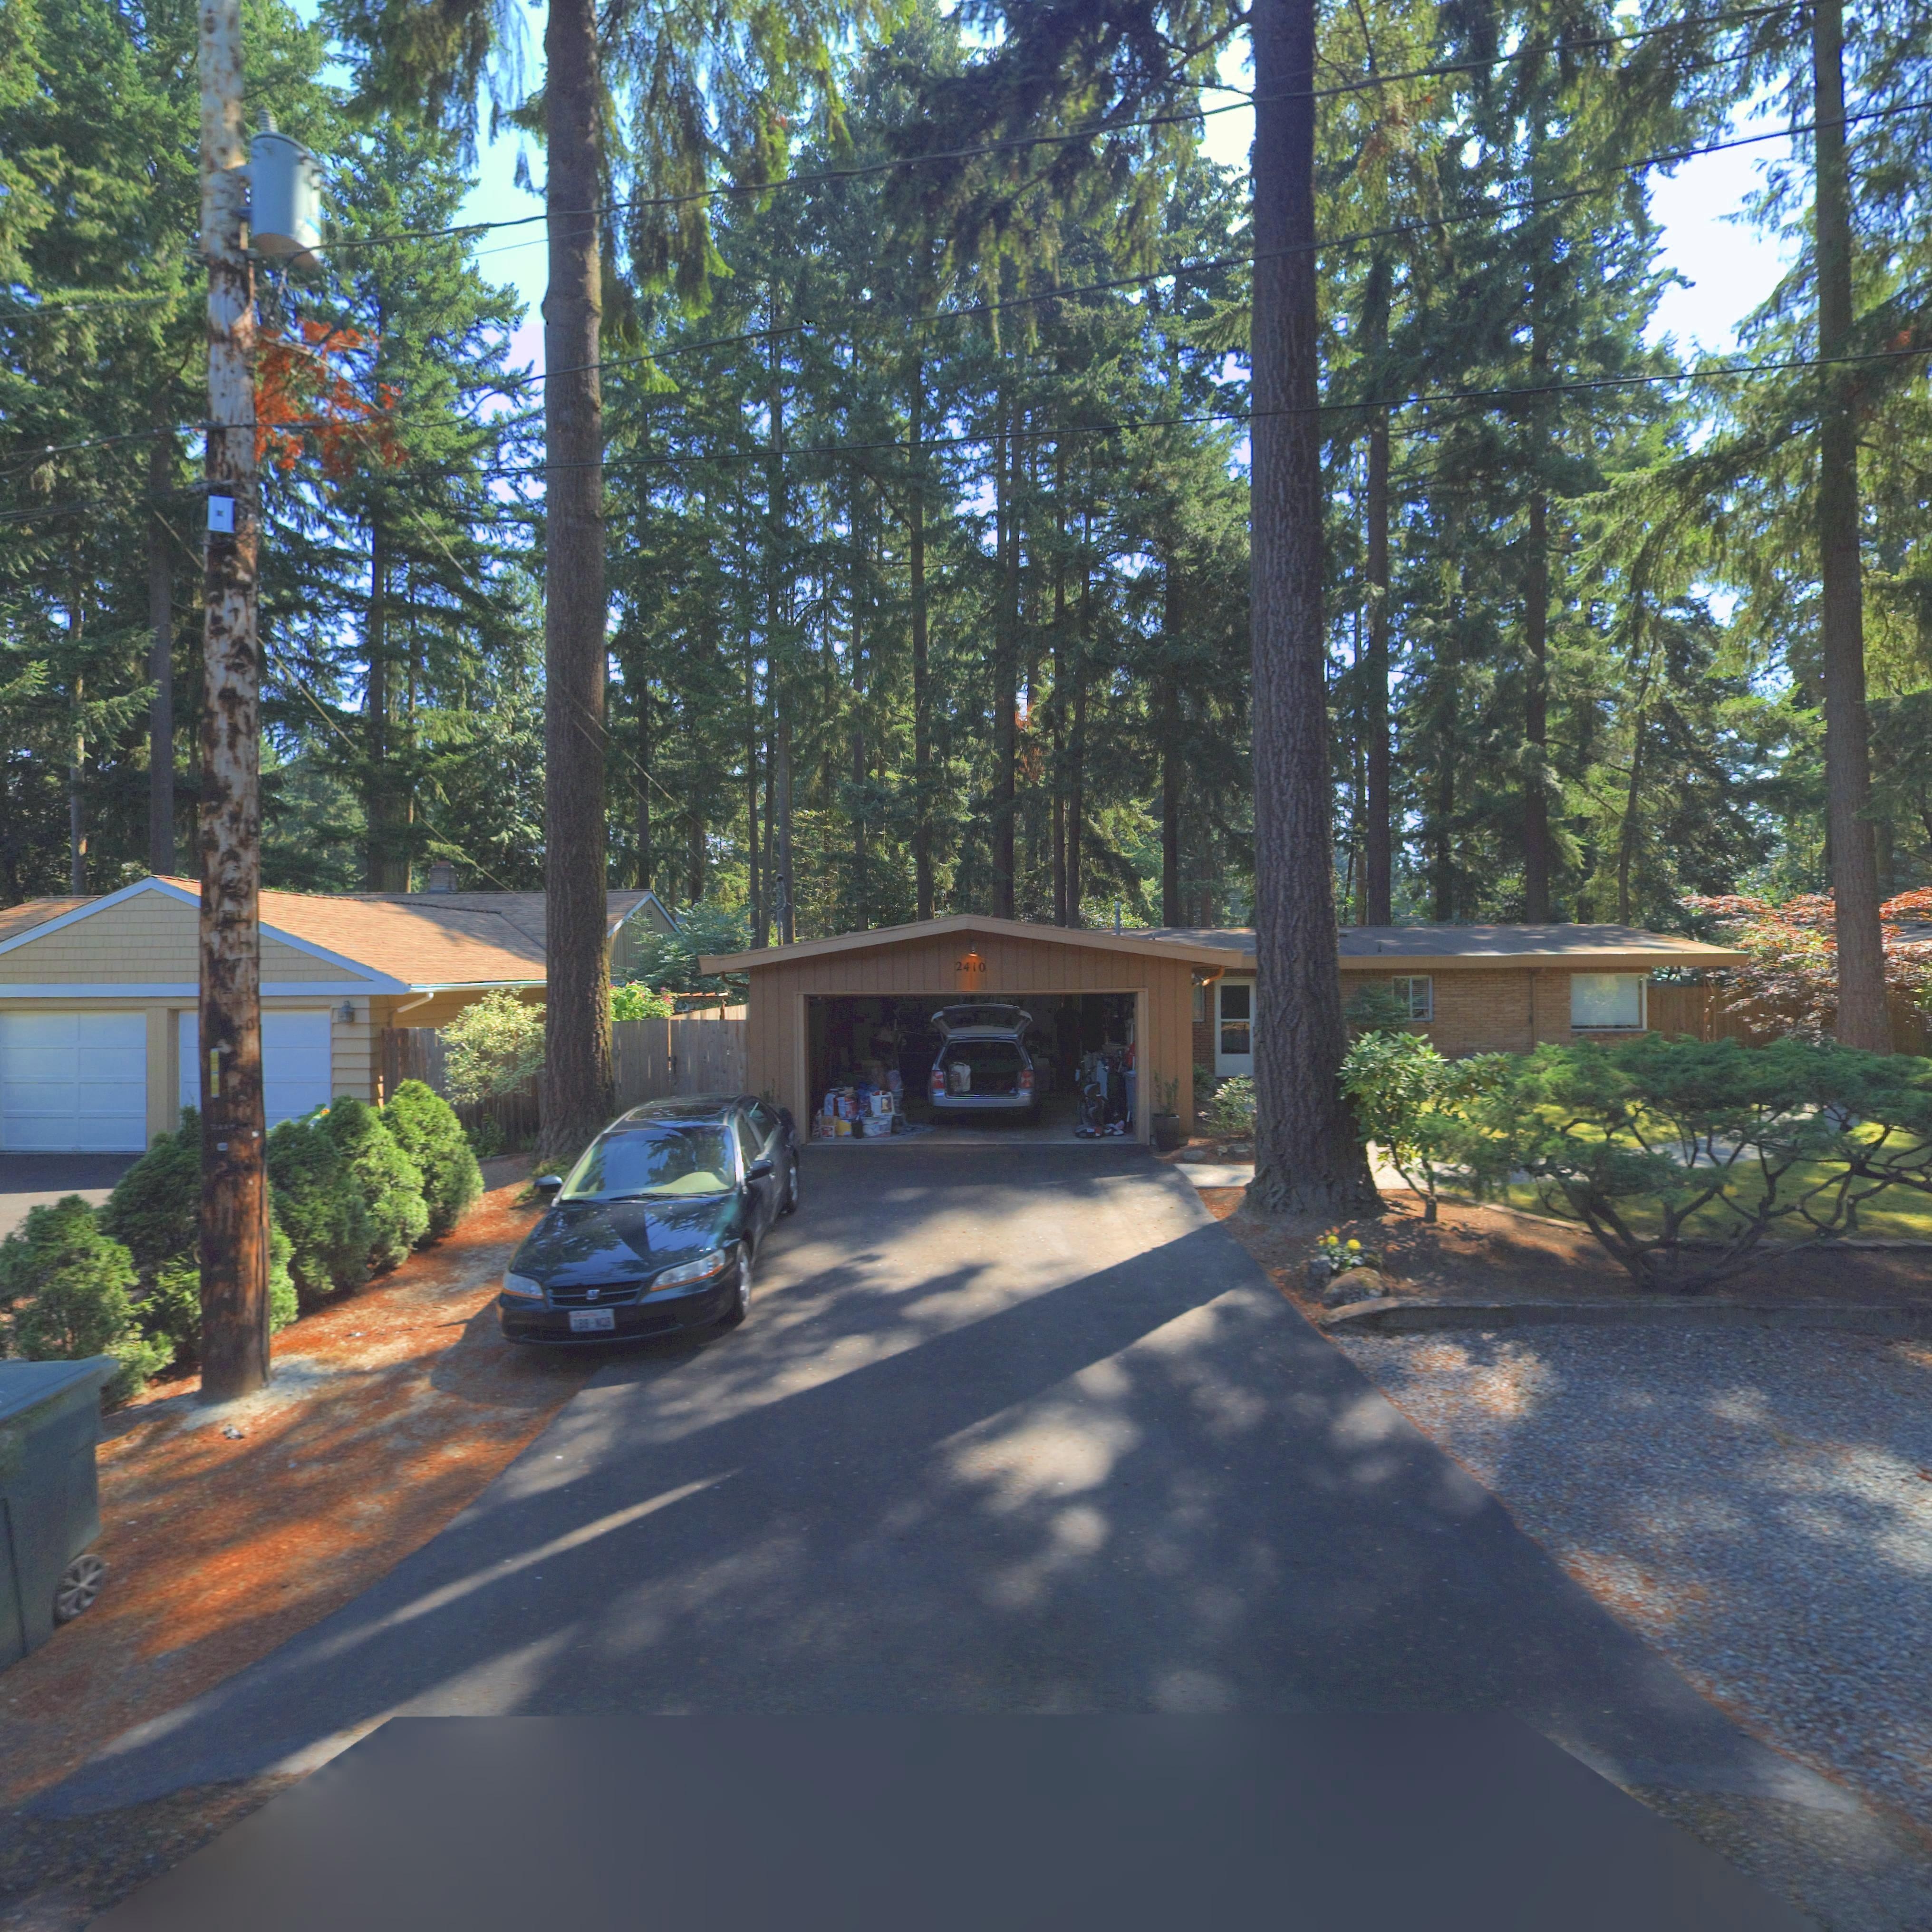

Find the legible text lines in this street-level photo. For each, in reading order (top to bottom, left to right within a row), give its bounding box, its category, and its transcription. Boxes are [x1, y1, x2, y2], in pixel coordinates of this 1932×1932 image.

[954, 961, 985, 972] StreetNumber: 2410